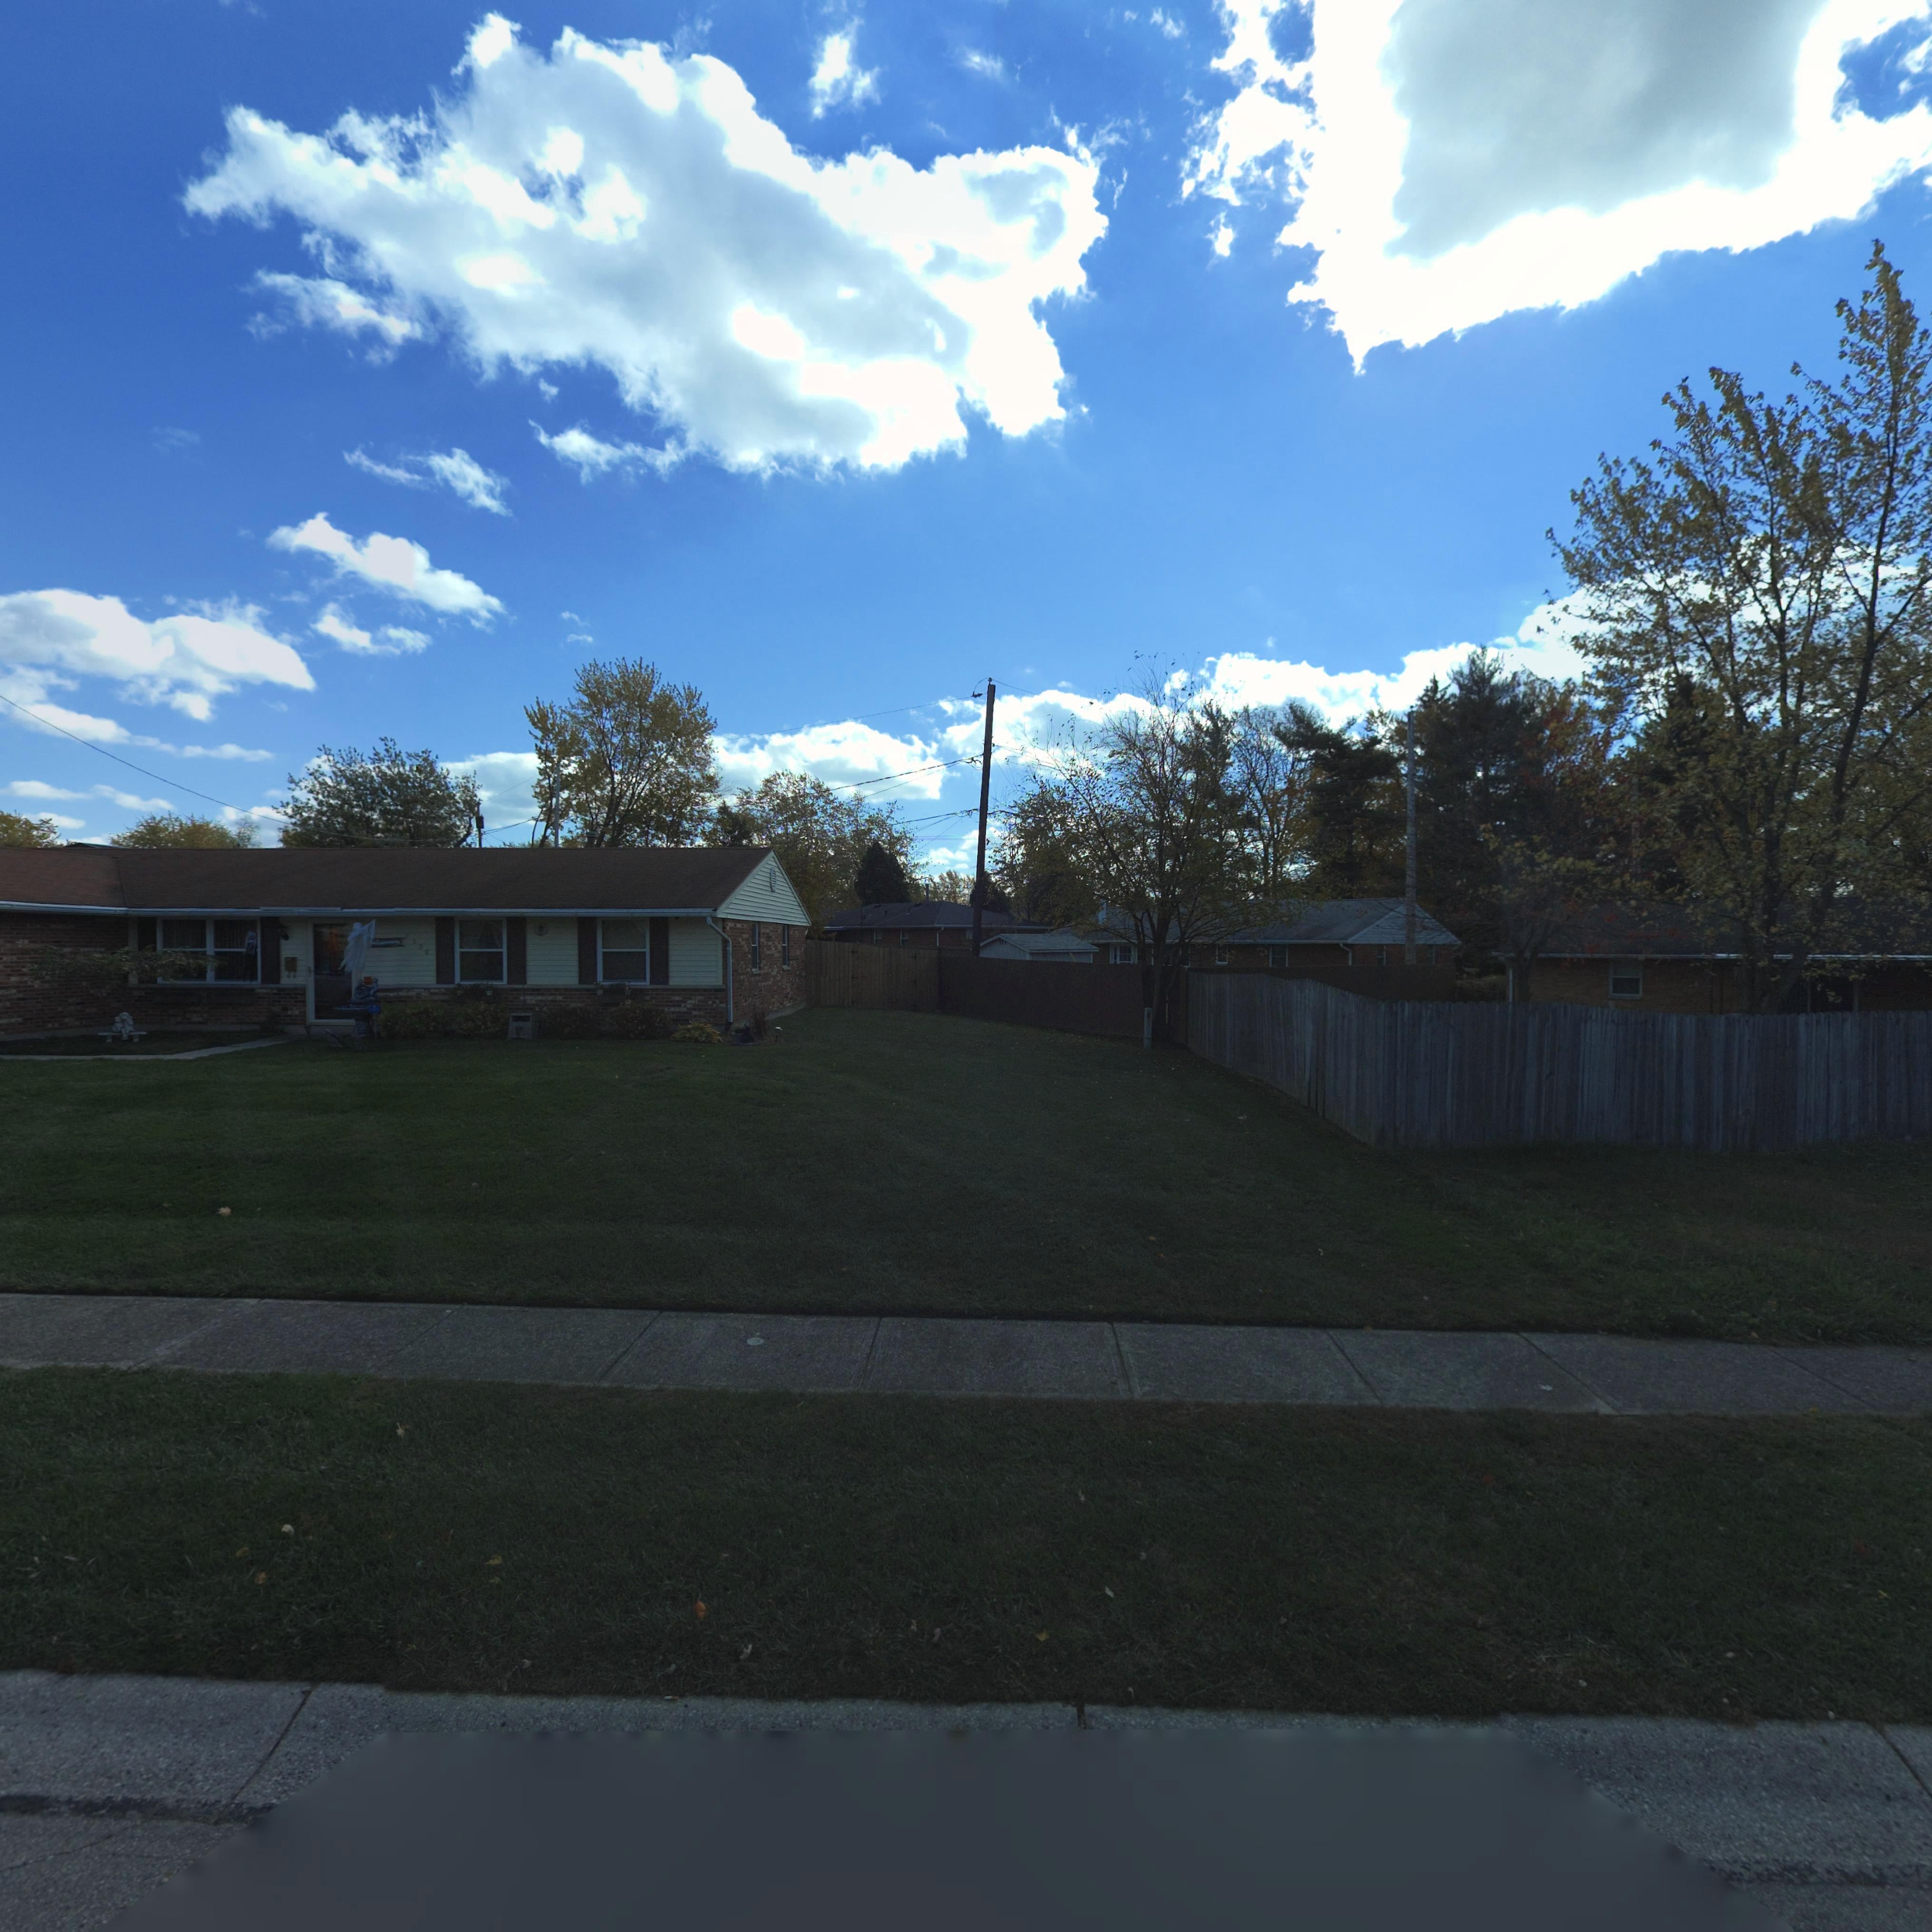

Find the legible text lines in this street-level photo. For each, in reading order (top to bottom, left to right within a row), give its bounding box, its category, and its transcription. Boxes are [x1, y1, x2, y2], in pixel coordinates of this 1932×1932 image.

[405, 933, 430, 956] StreetNumber: 7550